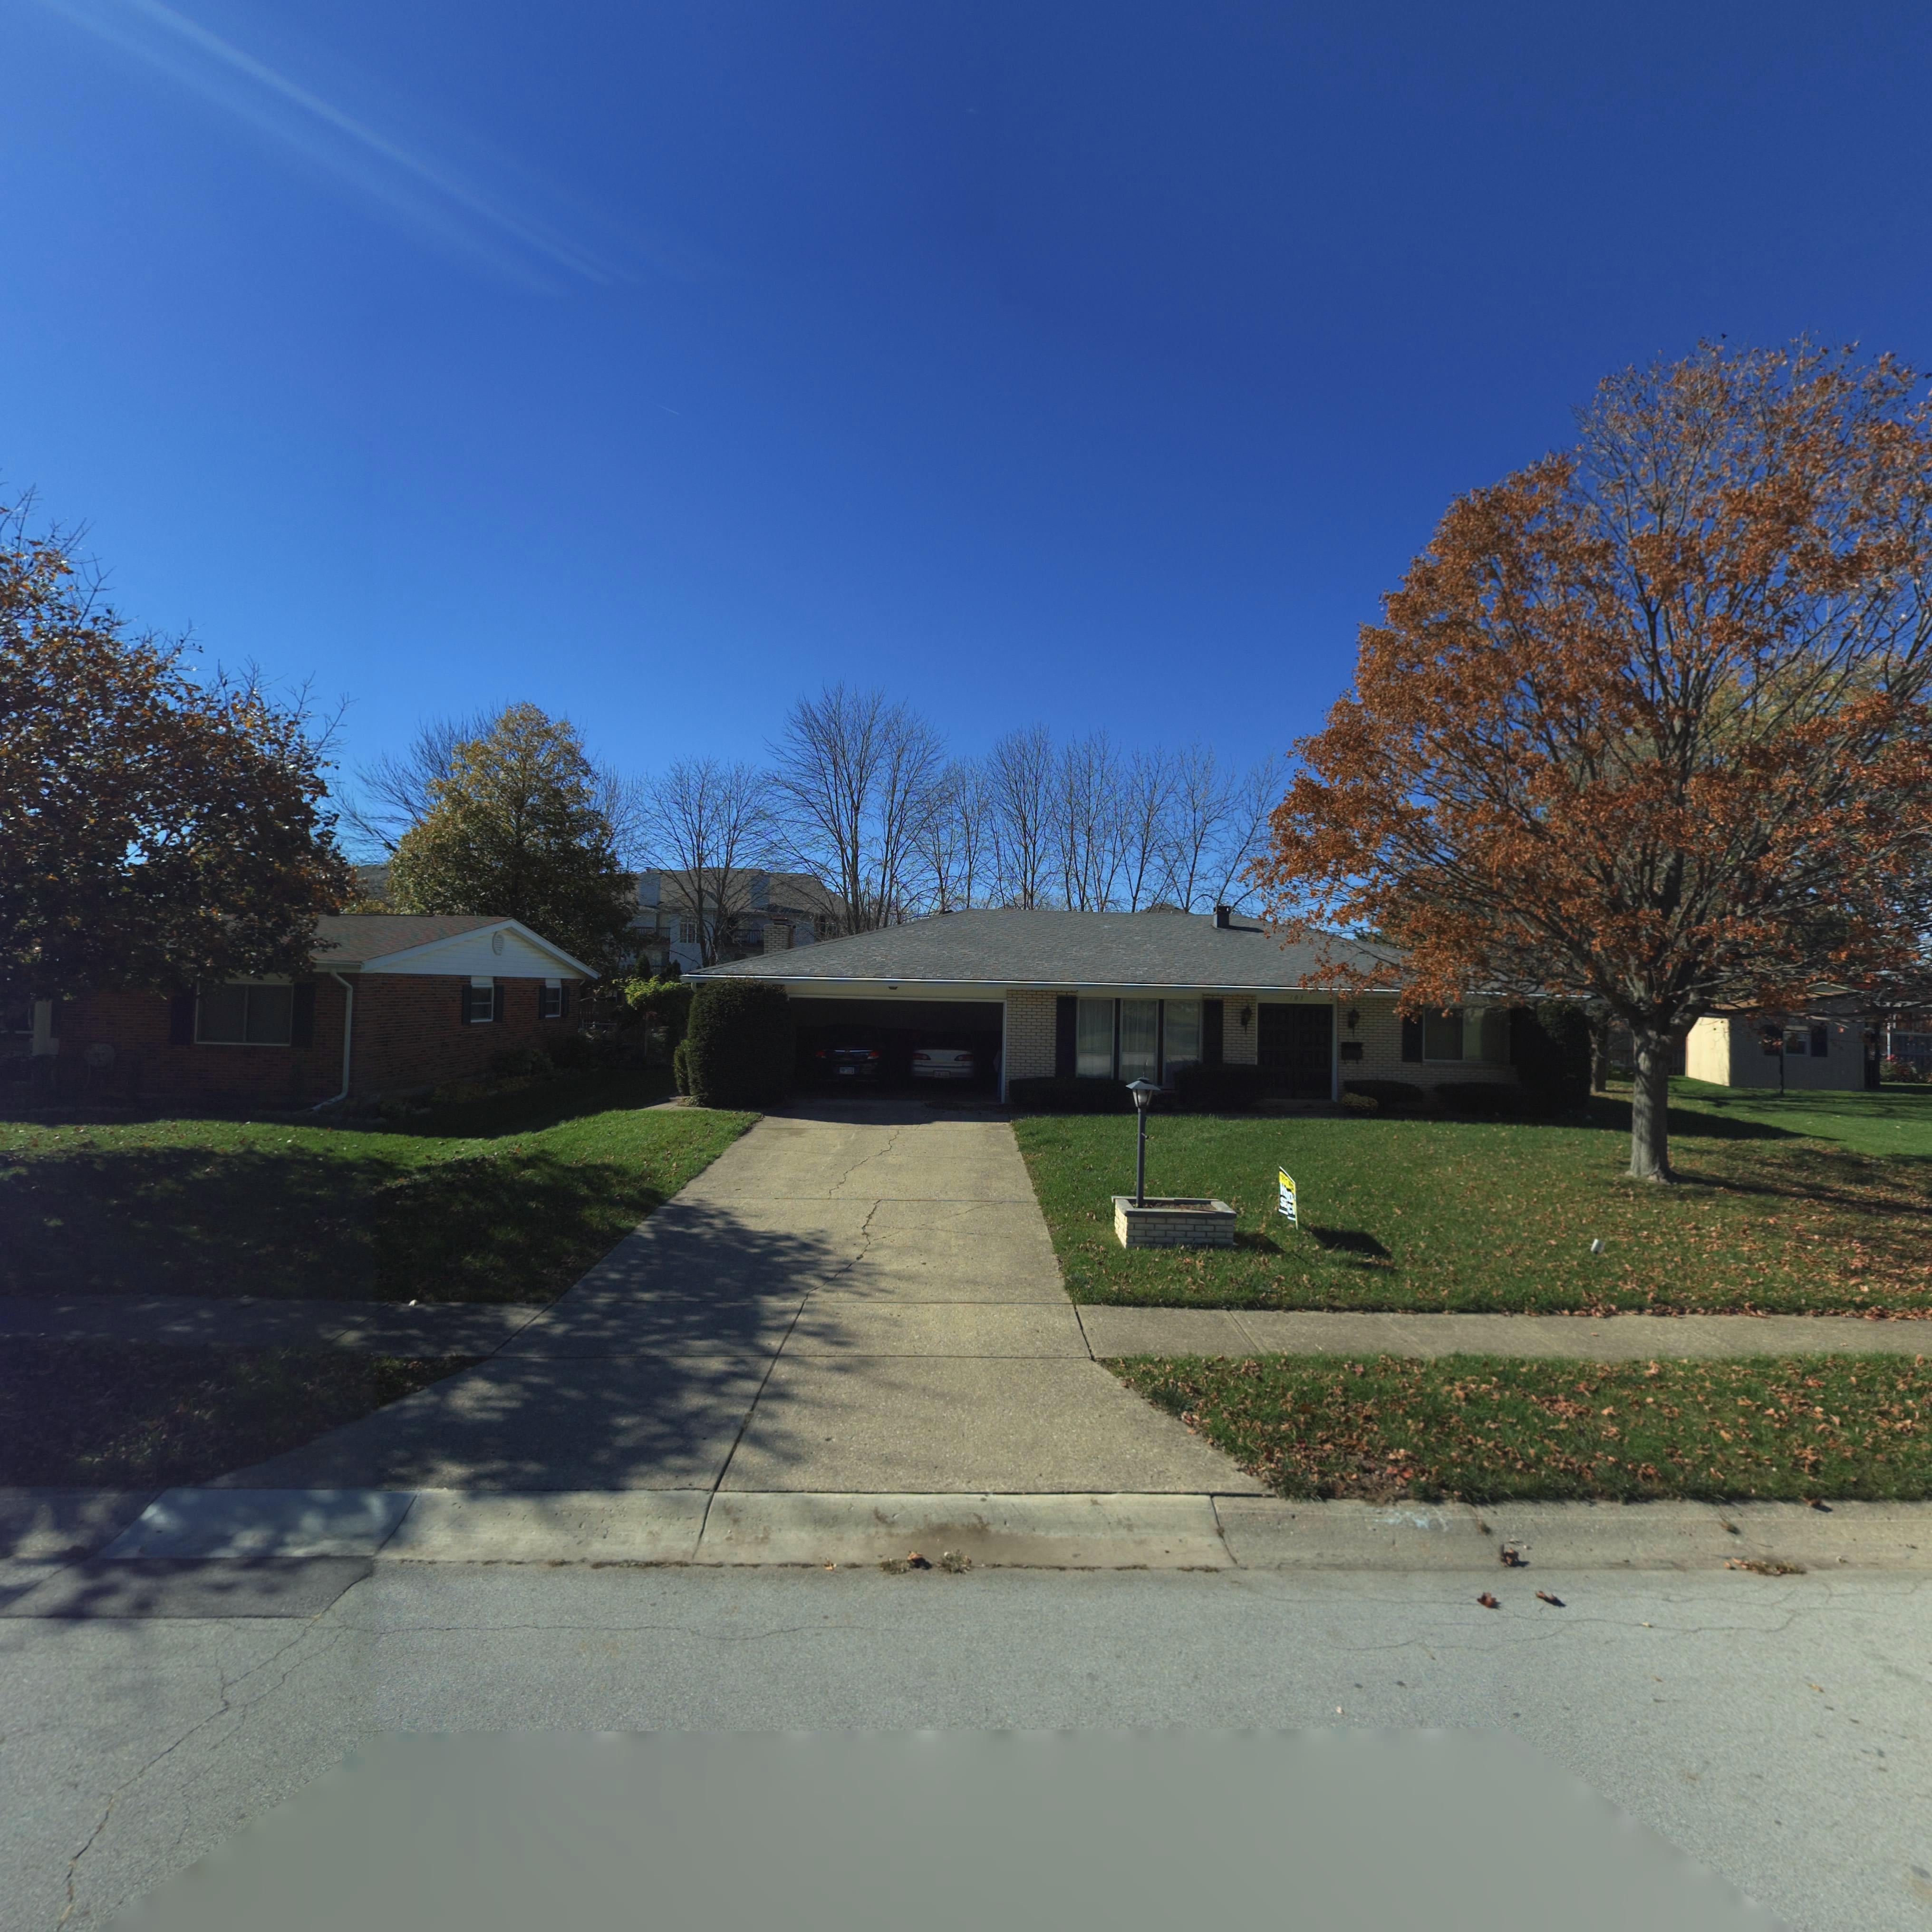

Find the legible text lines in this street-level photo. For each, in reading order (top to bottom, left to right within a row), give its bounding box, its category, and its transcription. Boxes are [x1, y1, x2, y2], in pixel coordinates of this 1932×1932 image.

[1289, 995, 1304, 1001] StreetNumber: 703